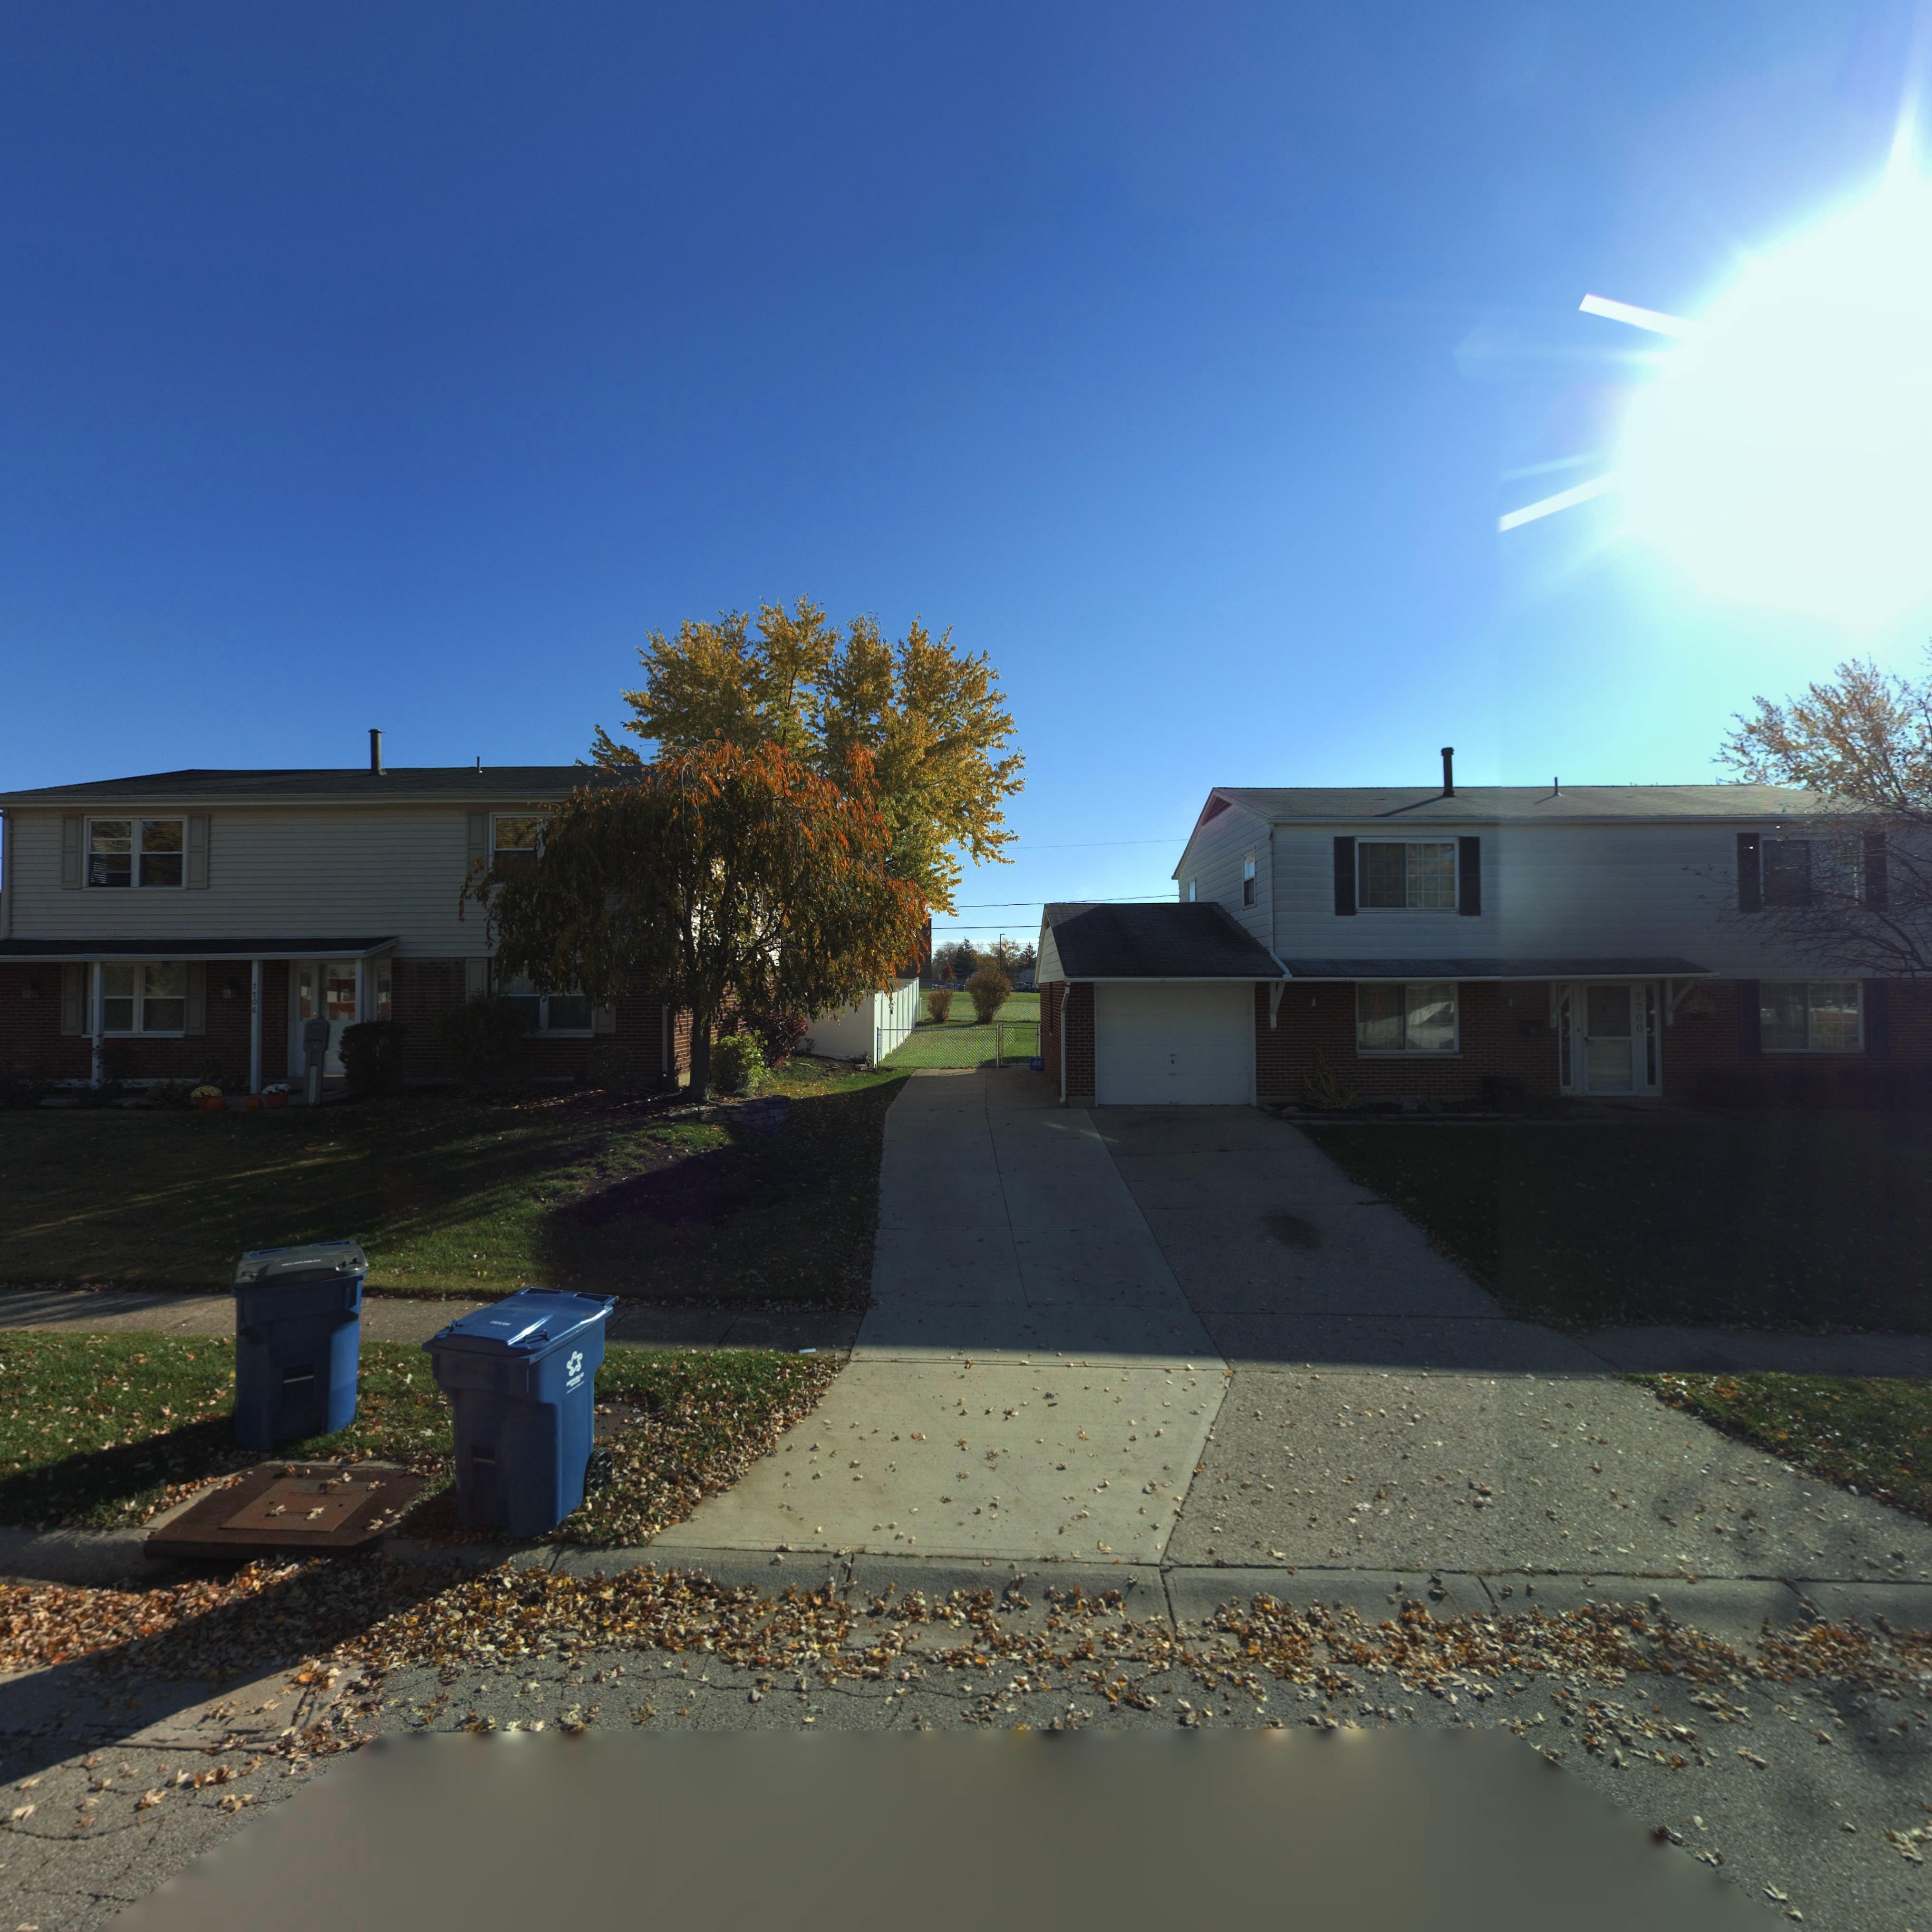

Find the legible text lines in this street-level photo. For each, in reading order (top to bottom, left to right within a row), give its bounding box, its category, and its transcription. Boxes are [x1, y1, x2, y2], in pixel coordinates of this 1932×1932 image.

[251, 982, 257, 1014] StreetNumber: 7706
[1635, 992, 1644, 1034] StreetNumber: 7700